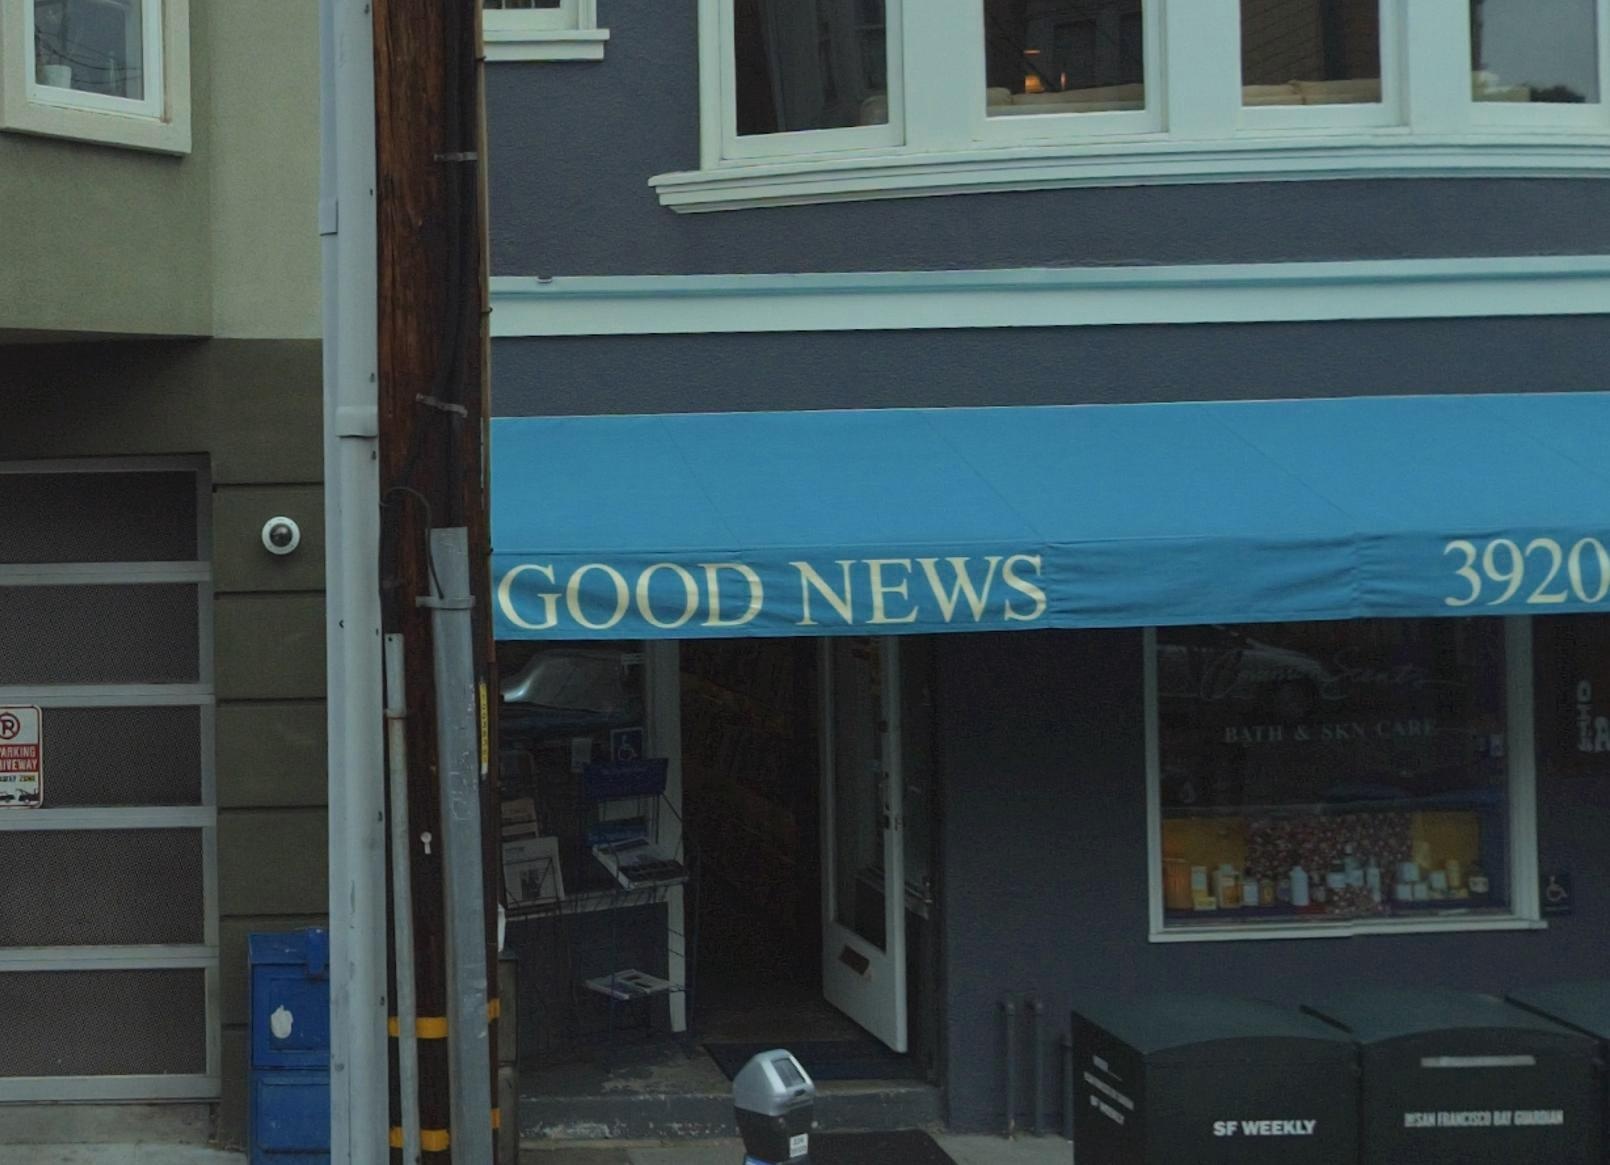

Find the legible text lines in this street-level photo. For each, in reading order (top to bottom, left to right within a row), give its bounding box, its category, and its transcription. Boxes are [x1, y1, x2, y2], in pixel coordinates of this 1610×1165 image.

[1441, 536, 1609, 609] StreetNumber: 3920
[496, 549, 1050, 633] BusinessName: GOOD NEWS
[1197, 646, 1434, 704] BusinessName: Common Scents
[1221, 715, 1440, 746] None: BATH & SKN CARE
[1573, 678, 1595, 754] None: OIL*
[0, 746, 37, 759] None: ARKING
[2, 758, 39, 772] None: IVEWAY
[1212, 1117, 1317, 1139] None: SF WEEKLY
[1414, 1107, 1566, 1130] None: SAN FRANCISCO BAY GUARDIAN